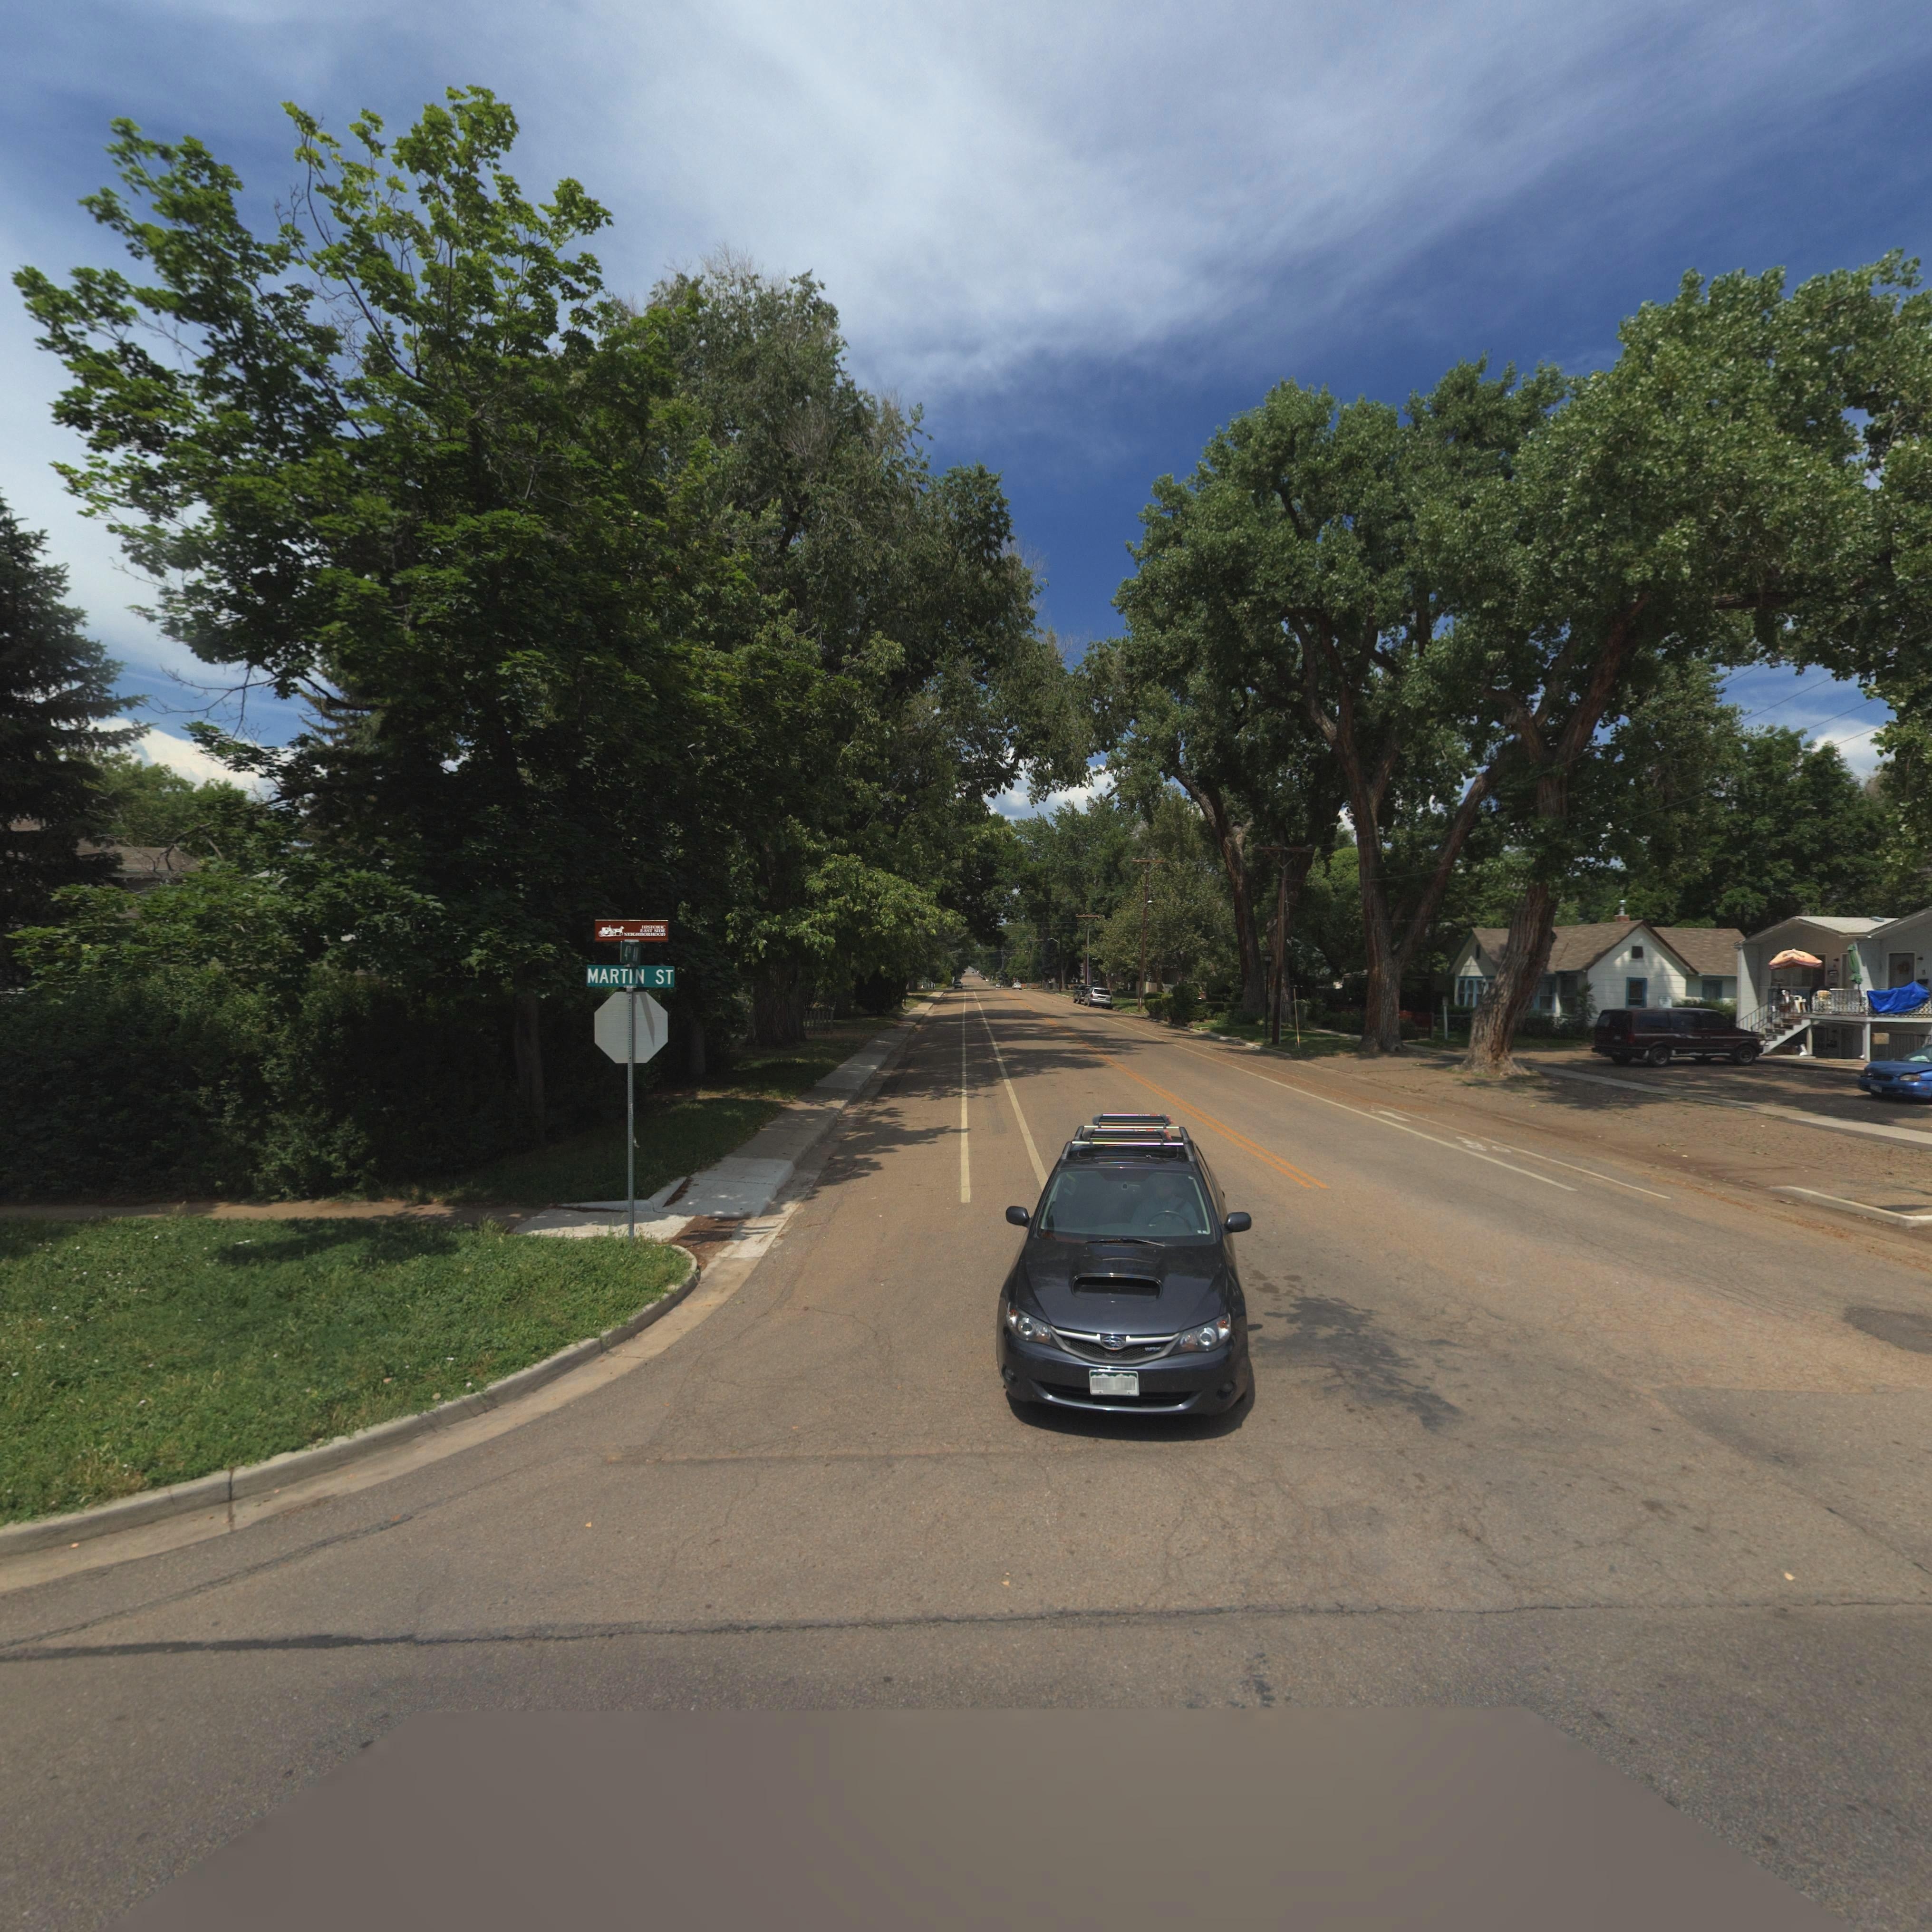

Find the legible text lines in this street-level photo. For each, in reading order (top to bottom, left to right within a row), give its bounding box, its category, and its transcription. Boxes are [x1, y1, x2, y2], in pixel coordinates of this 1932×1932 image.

[624, 945, 639, 962] StreetName: 4** AV
[587, 967, 675, 985] StreetName: MARTIN ST